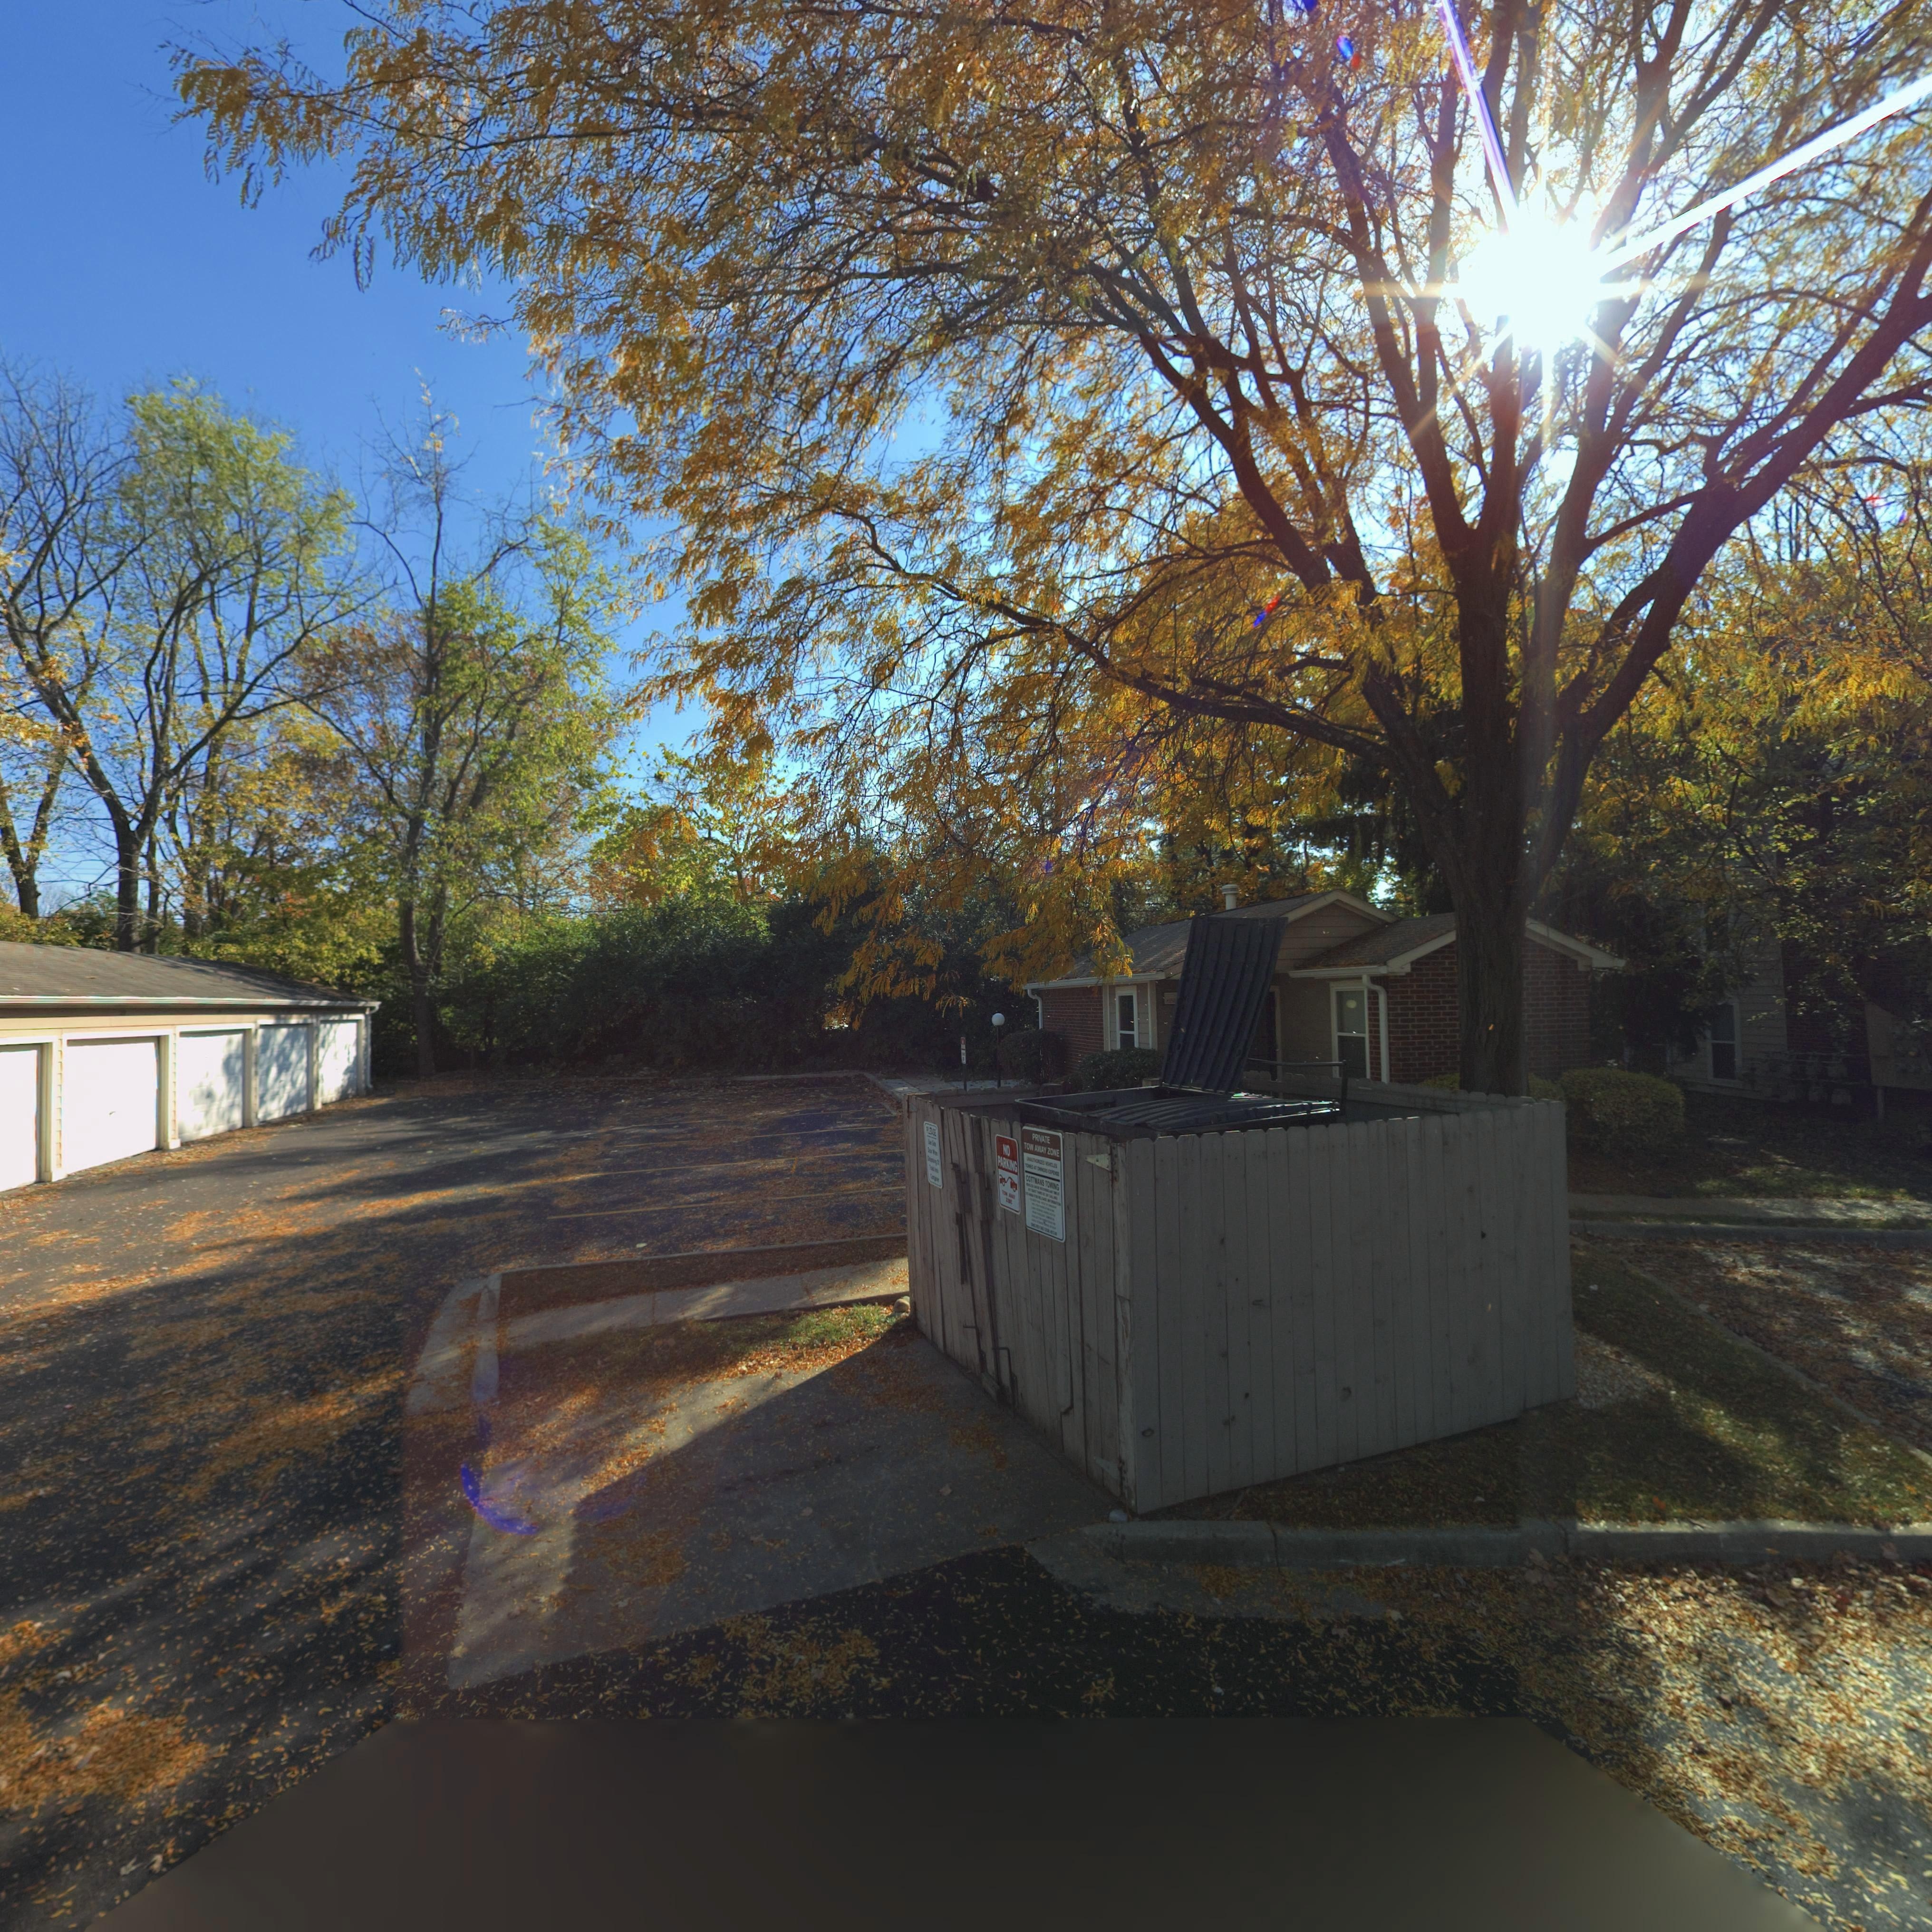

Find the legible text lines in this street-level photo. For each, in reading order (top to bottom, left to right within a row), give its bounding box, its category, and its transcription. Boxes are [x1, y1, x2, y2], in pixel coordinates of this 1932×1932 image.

[1031, 1132, 1052, 1145] None: PR**ATE
[1002, 1142, 1012, 1158] None: NO
[1023, 1141, 1061, 1158] None: TOW AWAY ZONE
[996, 1155, 1018, 1174] None: PARKING
[1025, 1174, 1061, 1192] None: COTTMA*S TO****